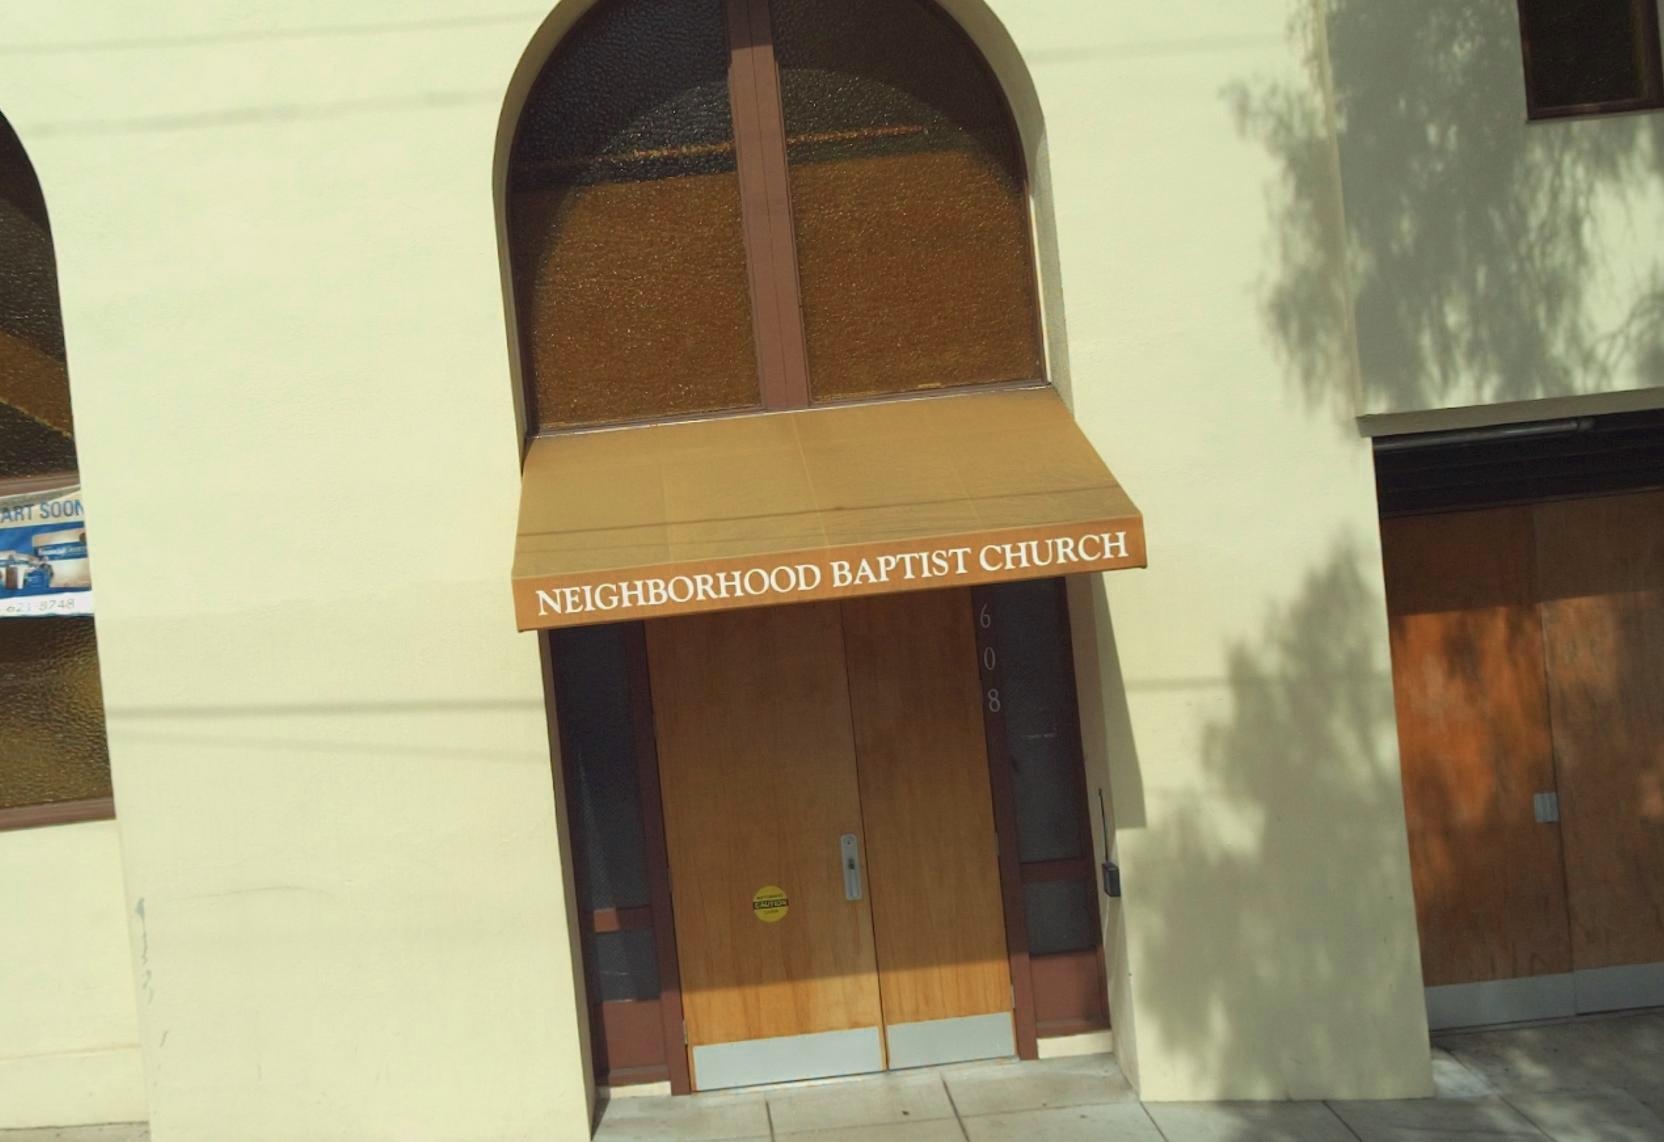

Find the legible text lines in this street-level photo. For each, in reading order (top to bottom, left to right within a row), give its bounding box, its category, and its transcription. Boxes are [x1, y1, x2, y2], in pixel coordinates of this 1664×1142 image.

[0, 497, 76, 526] None: ART SOO
[0, 593, 79, 615] None: 621 8748
[533, 528, 1131, 619] BusinessName: NEIGHBORHOOD BAPTIST CHURCH
[975, 600, 1004, 716] StreetNumber: 608